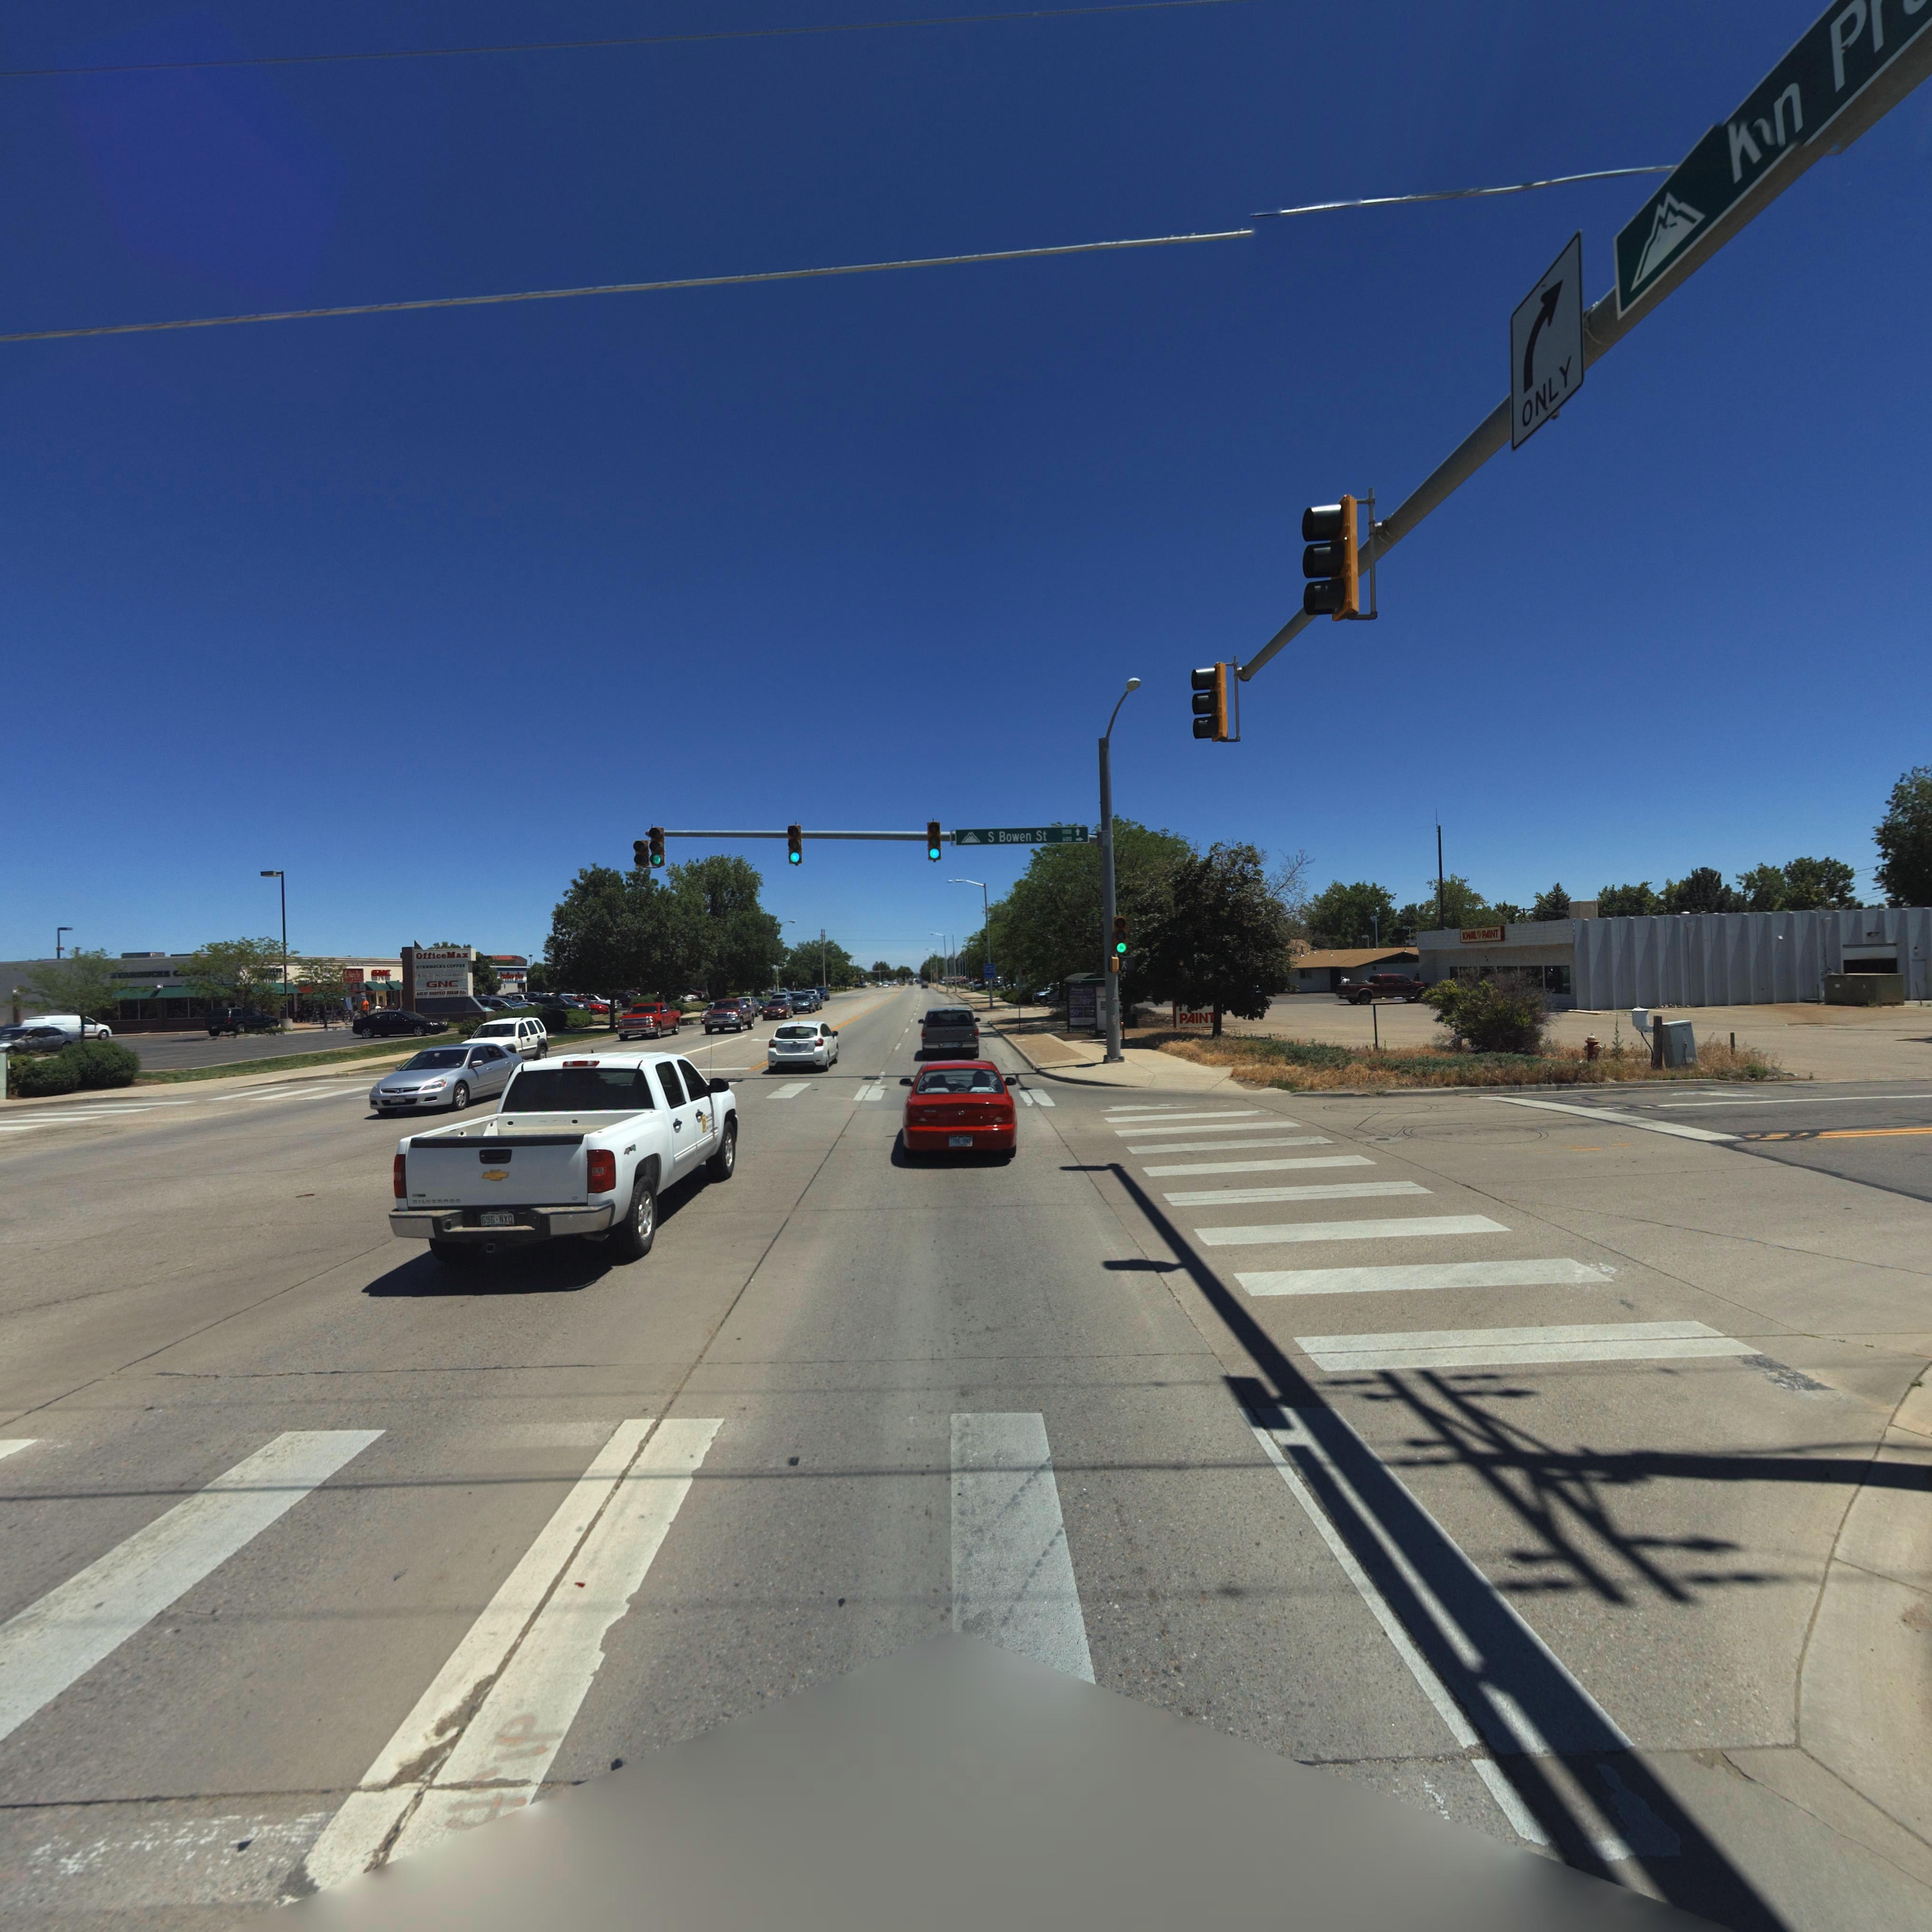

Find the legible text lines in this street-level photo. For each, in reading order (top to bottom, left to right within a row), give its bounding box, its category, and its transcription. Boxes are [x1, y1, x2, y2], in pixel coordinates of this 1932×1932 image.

[1771, 78, 1806, 155] StreetName: n
[1062, 829, 1072, 834] StreetNumberRange: 1100
[987, 830, 1047, 843] StreetName: S Bowen St
[1062, 836, 1084, 842] StreetNumberRange: 600->
[1462, 928, 1498, 940] BusinessName: KWAL PAINT
[415, 951, 469, 960] BusinessName: OfficeMax
[415, 963, 465, 969] BusinessName: STA**UCKS COFFEE
[110, 969, 181, 979] BusinessName: *TAR**CKS C
[371, 969, 391, 976] BusinessName: GNC
[425, 979, 458, 988] BusinessName: GNC
[416, 989, 466, 995] BusinessName: G**** ******* ***** Co.
[1179, 1012, 1214, 1024] BusinessName: PAINT